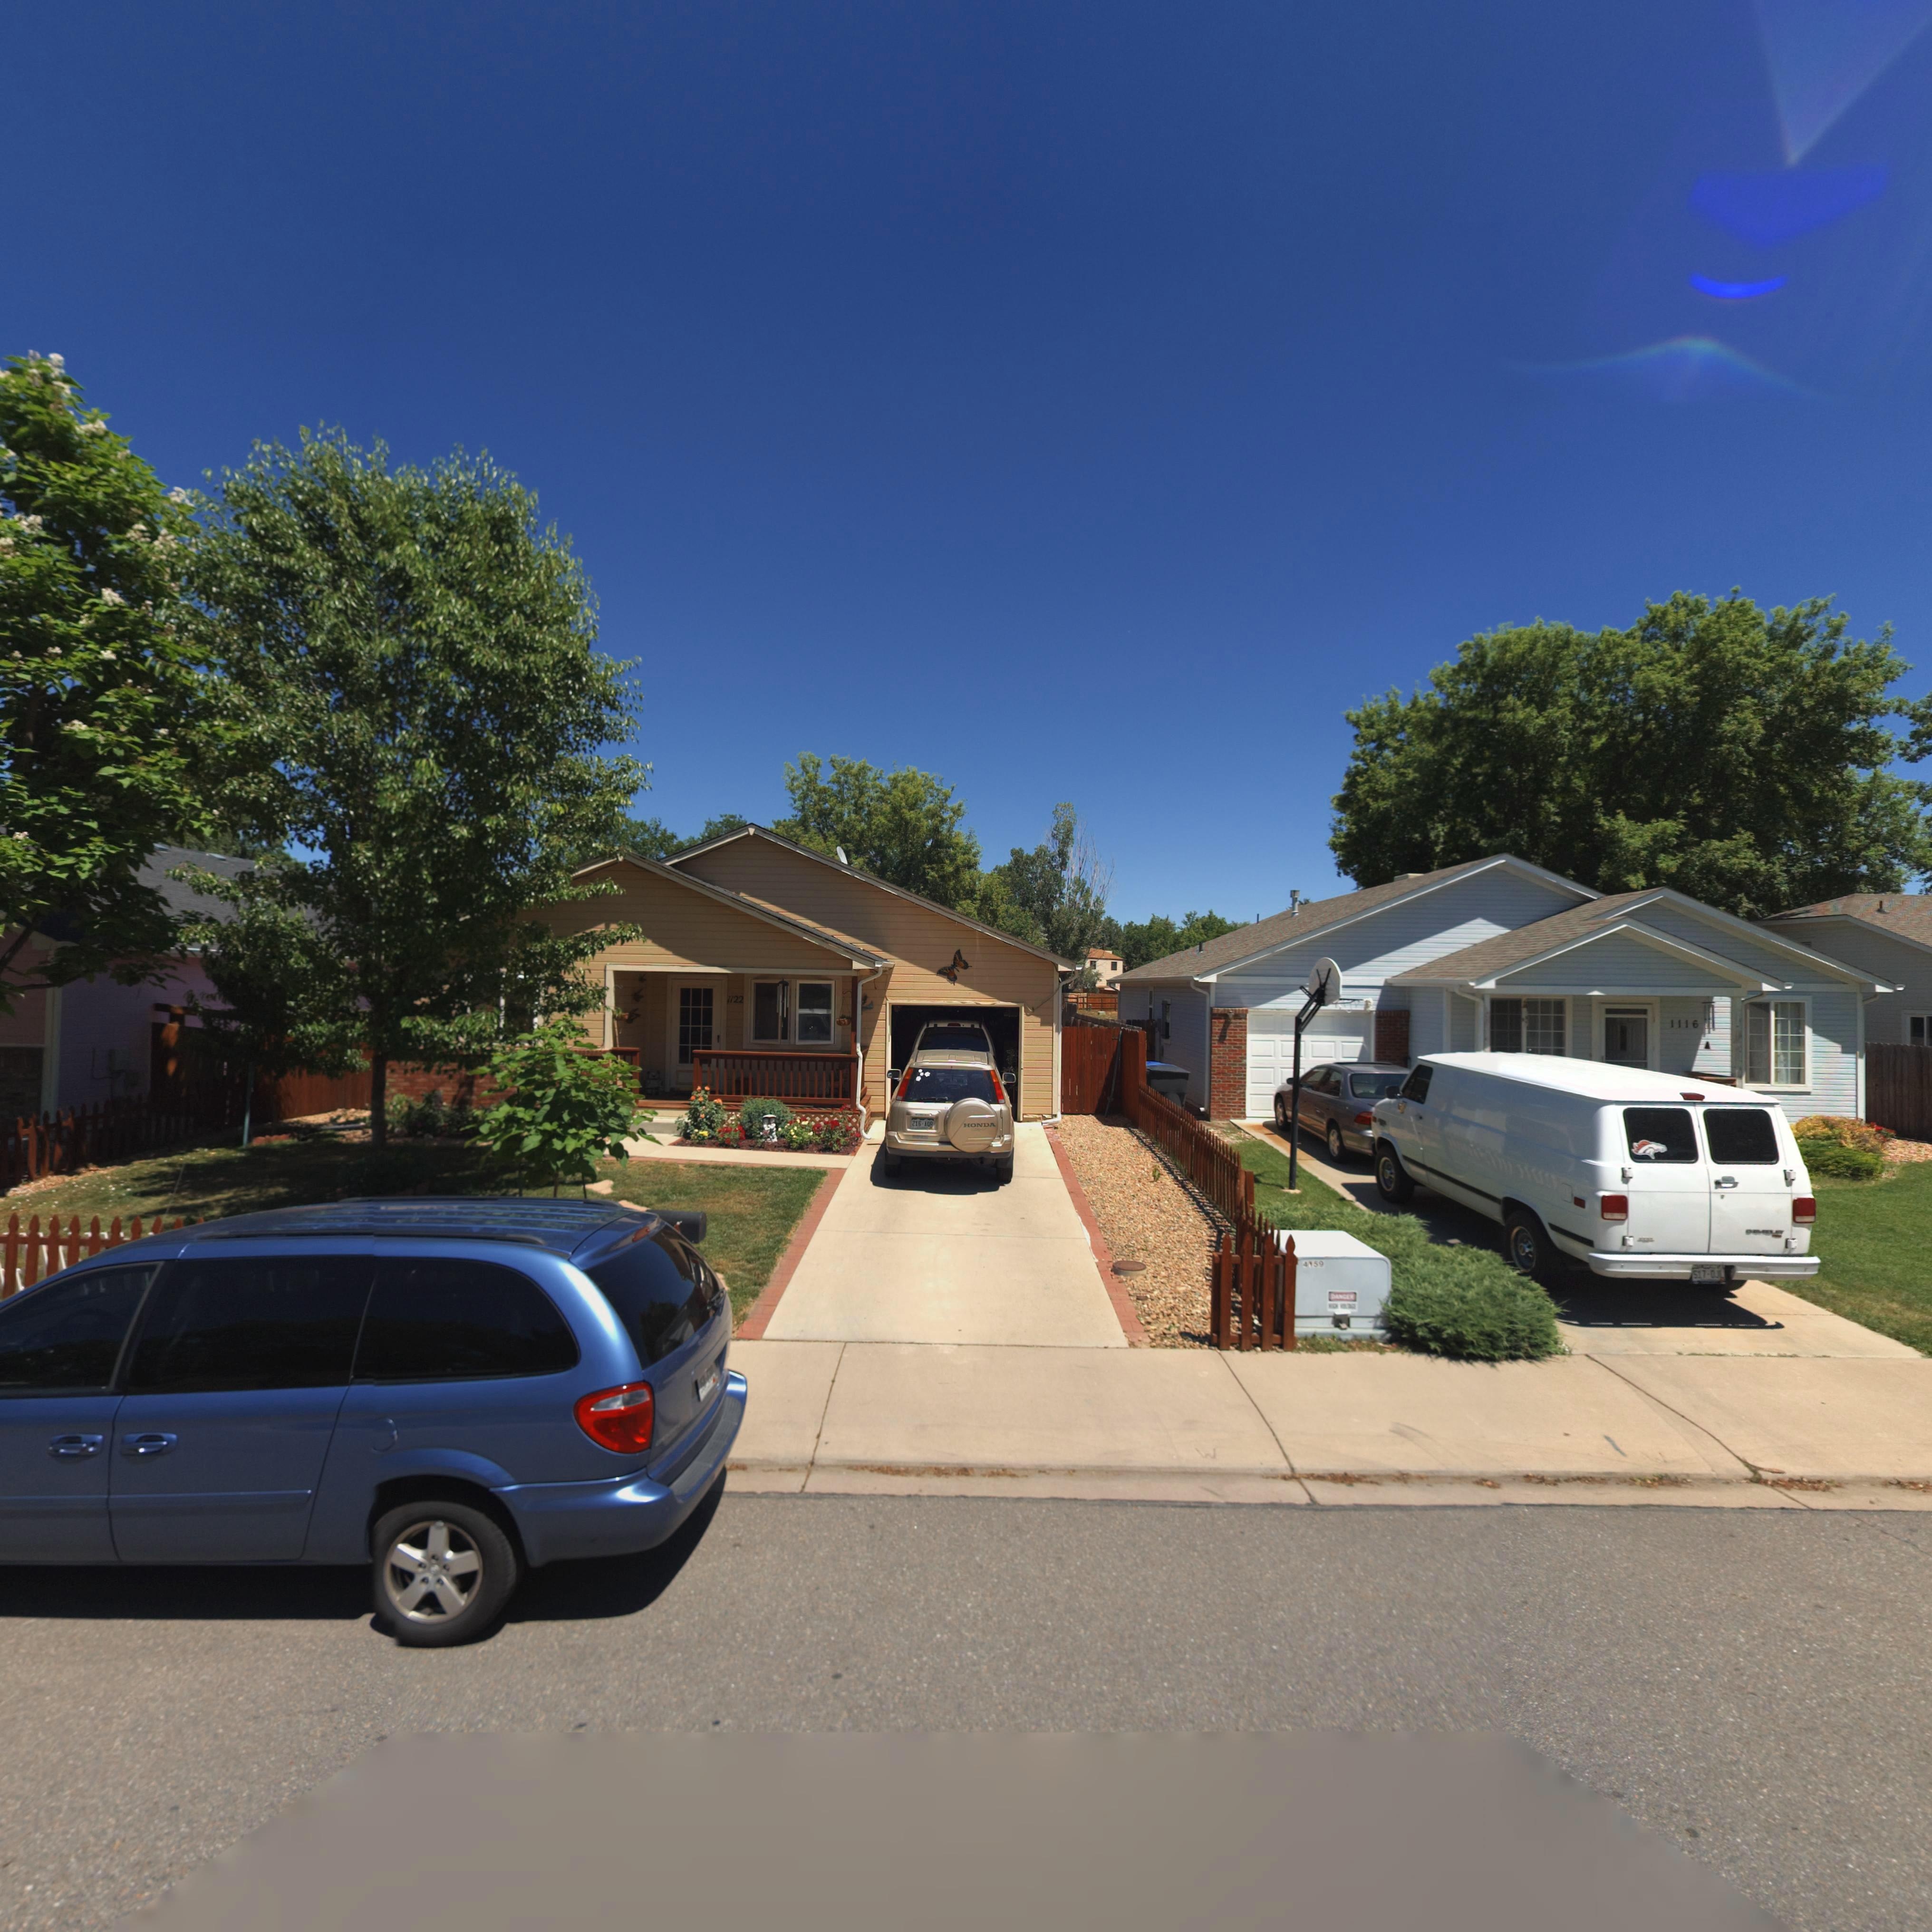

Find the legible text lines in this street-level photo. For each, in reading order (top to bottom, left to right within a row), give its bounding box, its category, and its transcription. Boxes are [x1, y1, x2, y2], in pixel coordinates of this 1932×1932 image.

[726, 995, 744, 1003] StreetNumber: 1122
[1671, 1019, 1699, 1028] StreetNumber: 1116